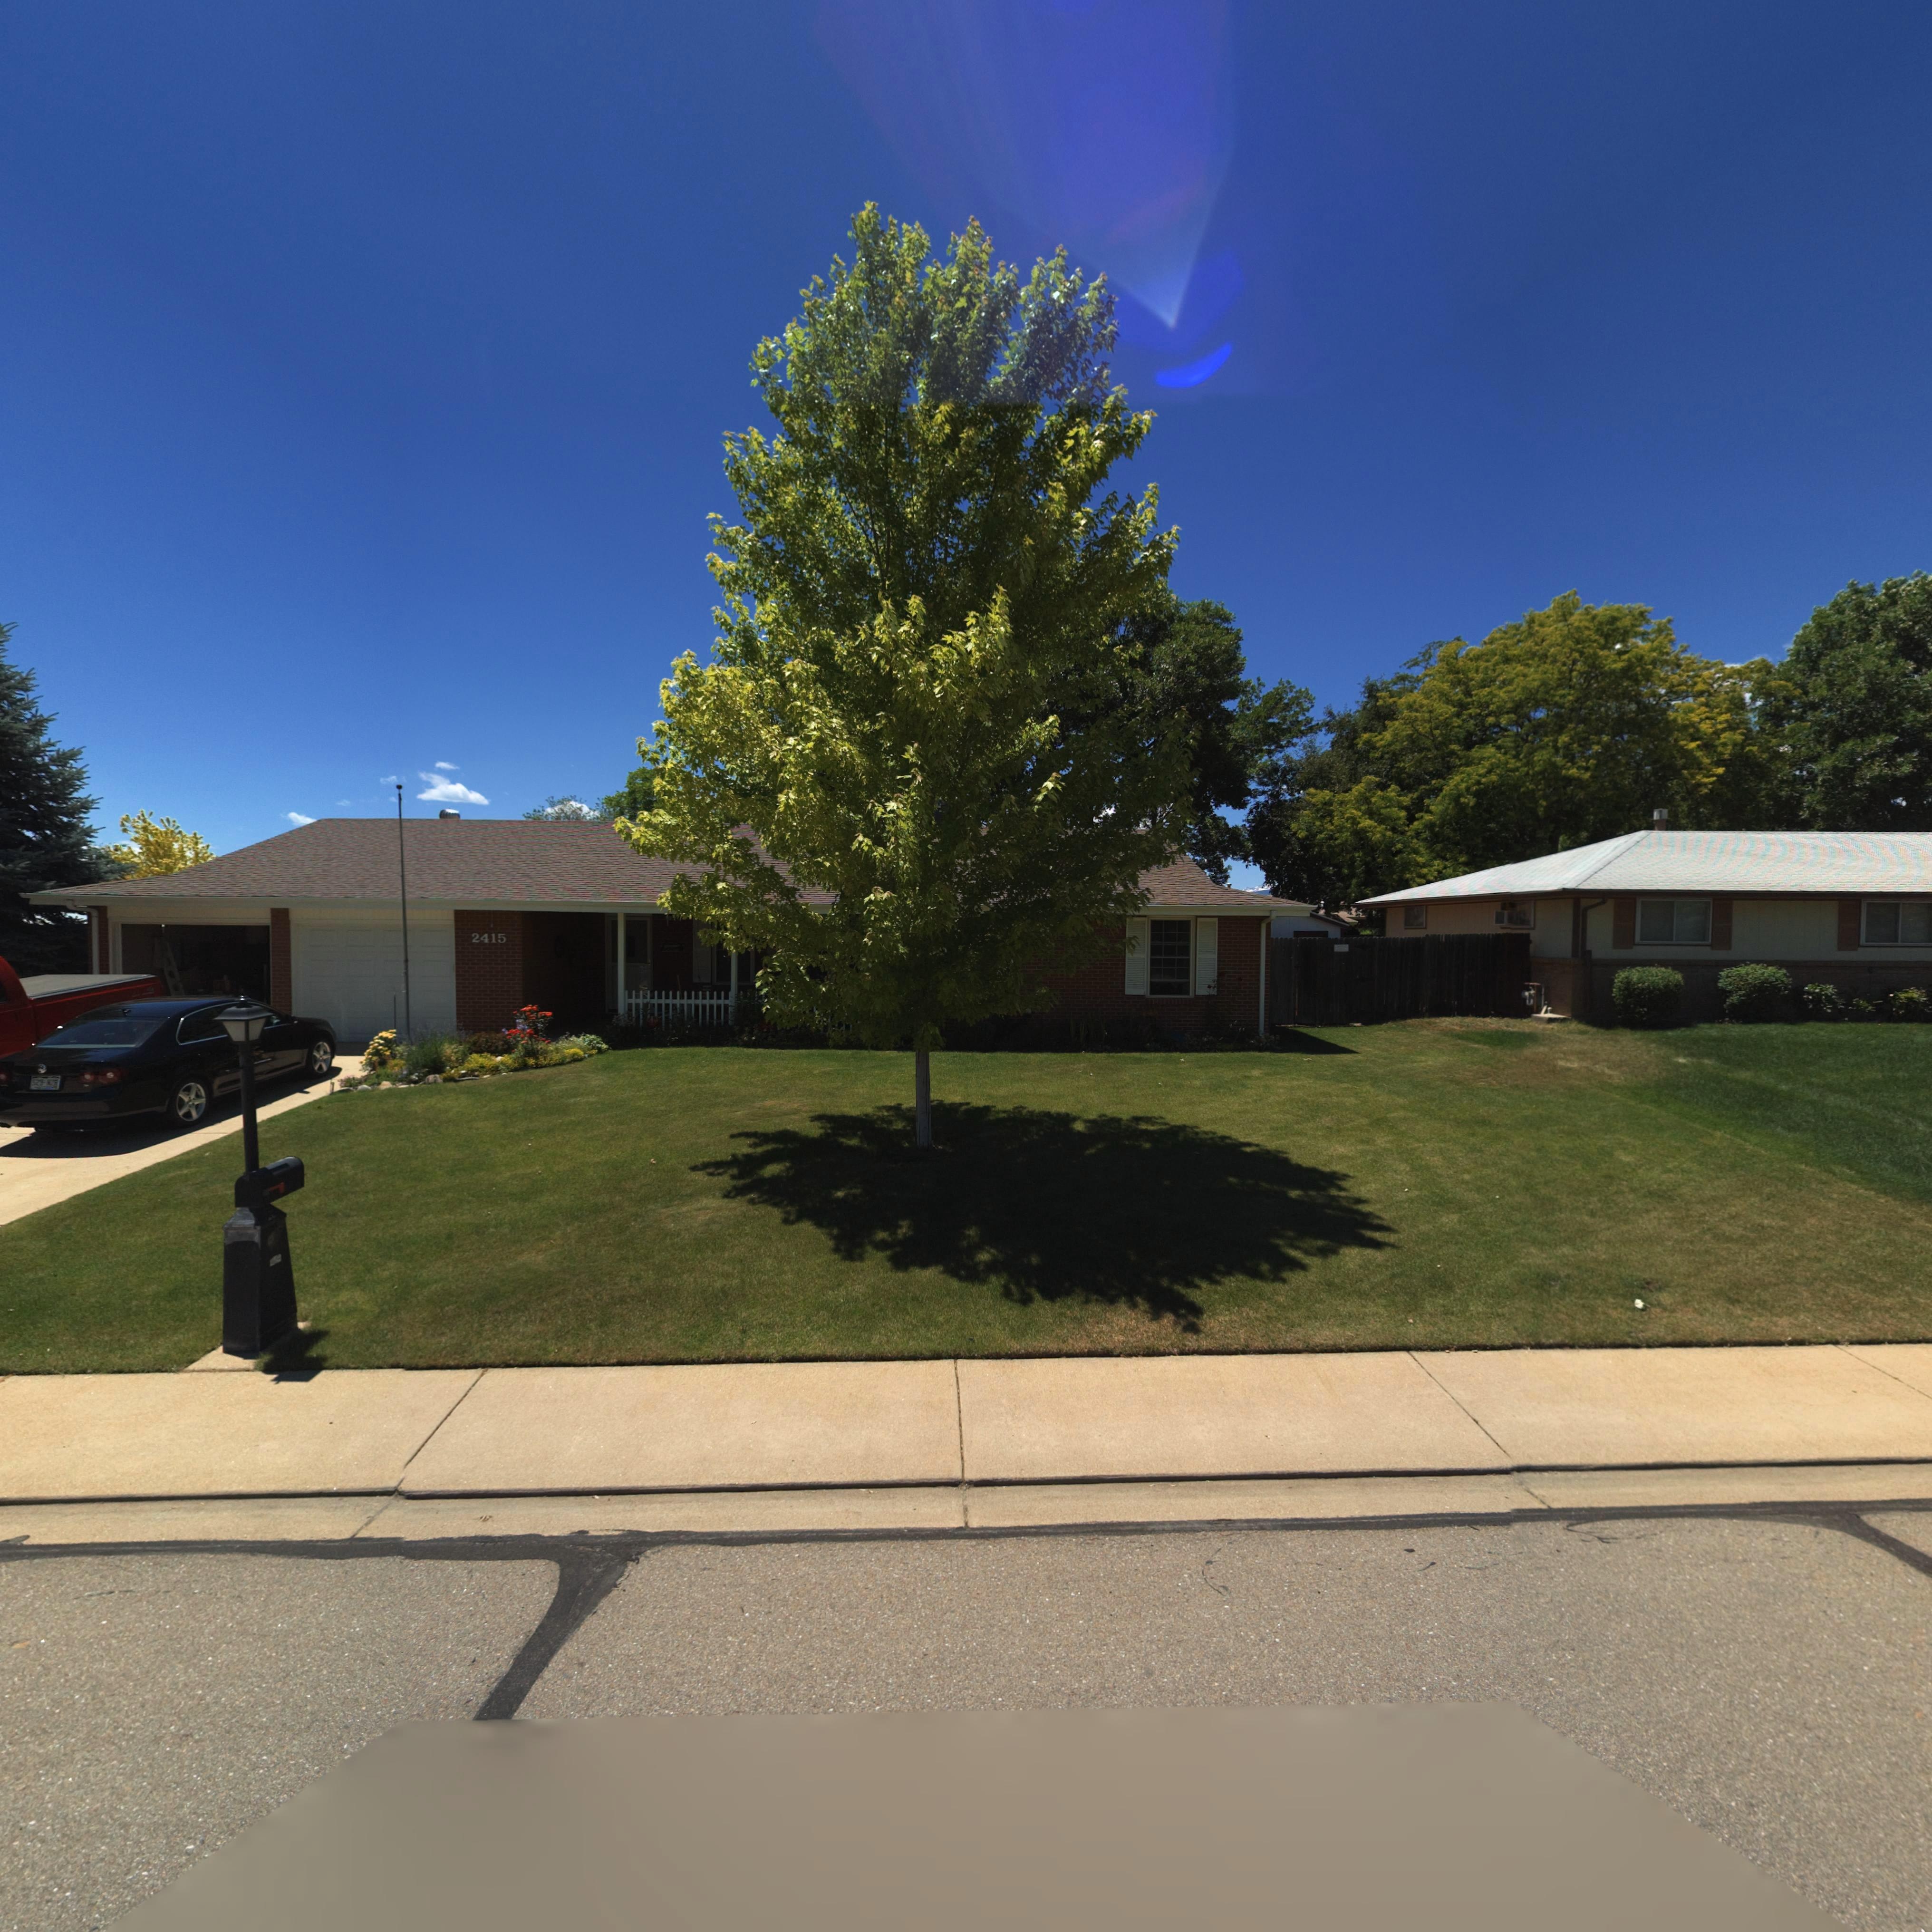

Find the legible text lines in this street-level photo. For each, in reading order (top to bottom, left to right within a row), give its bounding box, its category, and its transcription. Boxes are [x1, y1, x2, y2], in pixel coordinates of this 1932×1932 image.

[471, 932, 507, 943] StreetNumber: 2415